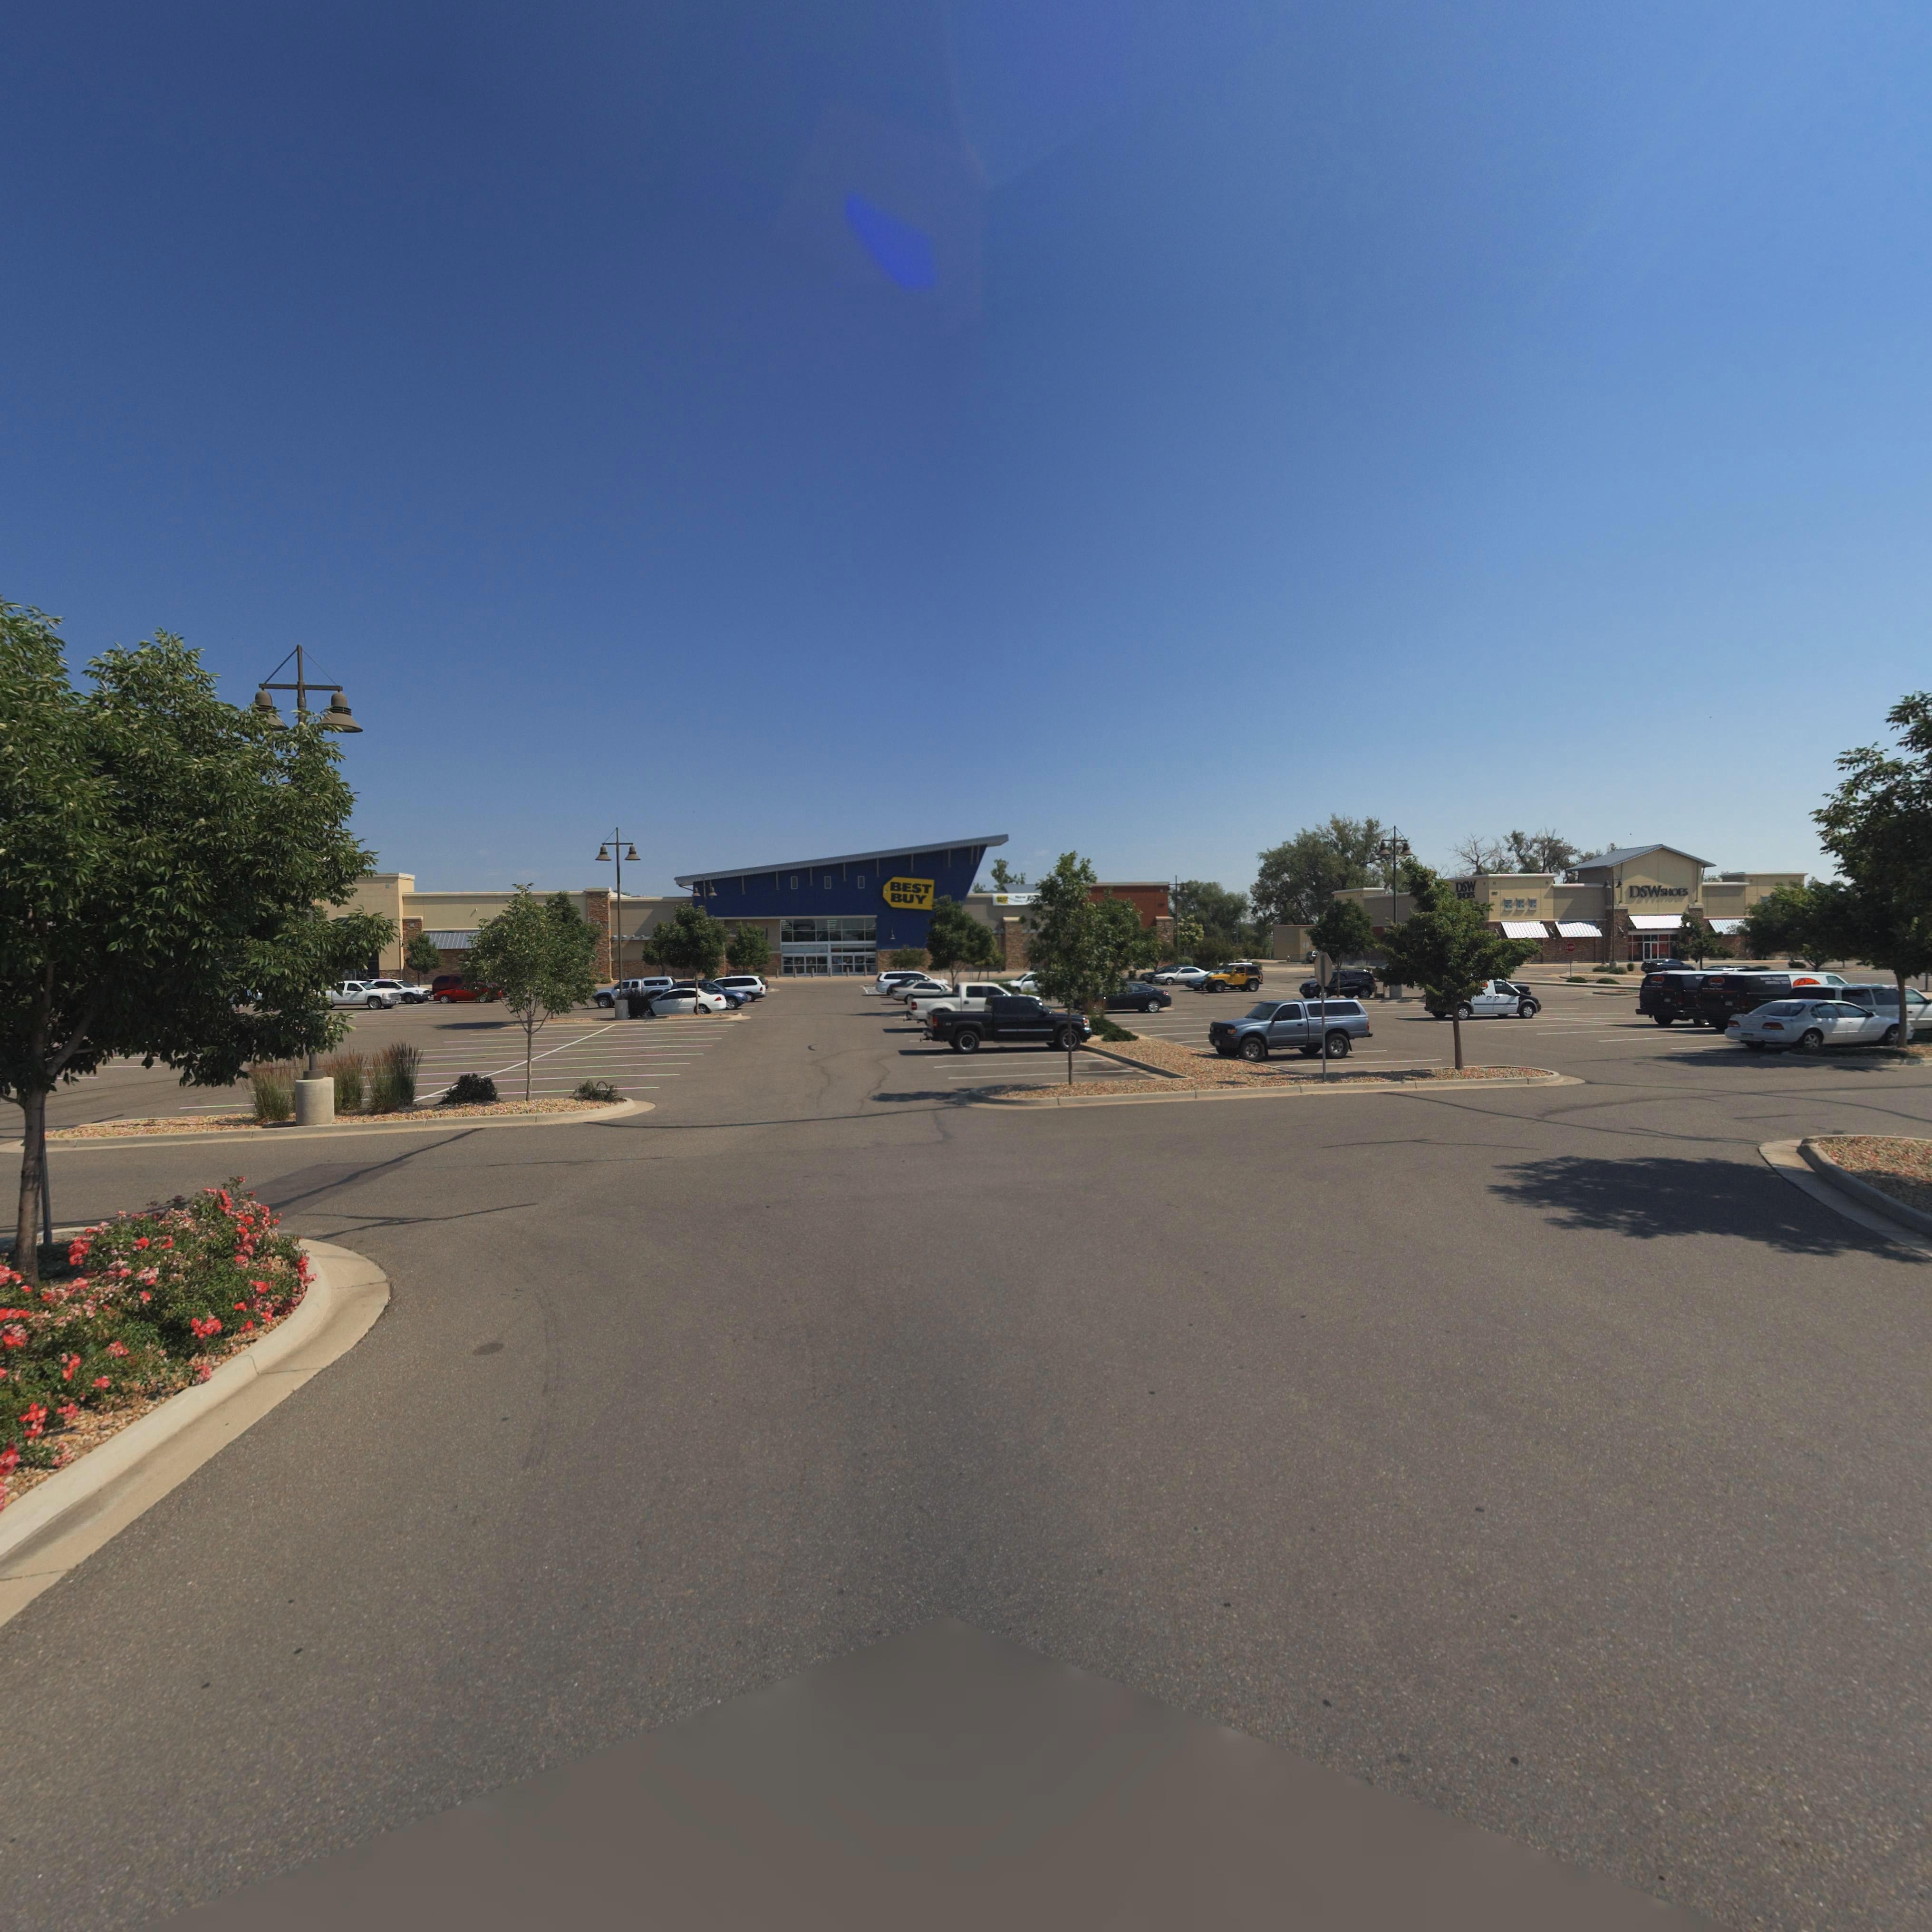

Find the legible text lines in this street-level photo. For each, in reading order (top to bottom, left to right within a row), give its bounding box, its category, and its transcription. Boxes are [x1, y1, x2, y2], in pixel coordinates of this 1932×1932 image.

[890, 892, 927, 904] BusinessName: BUY
[889, 881, 932, 894] BusinessName: BEST
[1456, 891, 1475, 899] BusinessName: SHOES
[1455, 880, 1477, 892] BusinessName: DSW
[1630, 885, 1688, 898] BusinessName: DSWSHOES